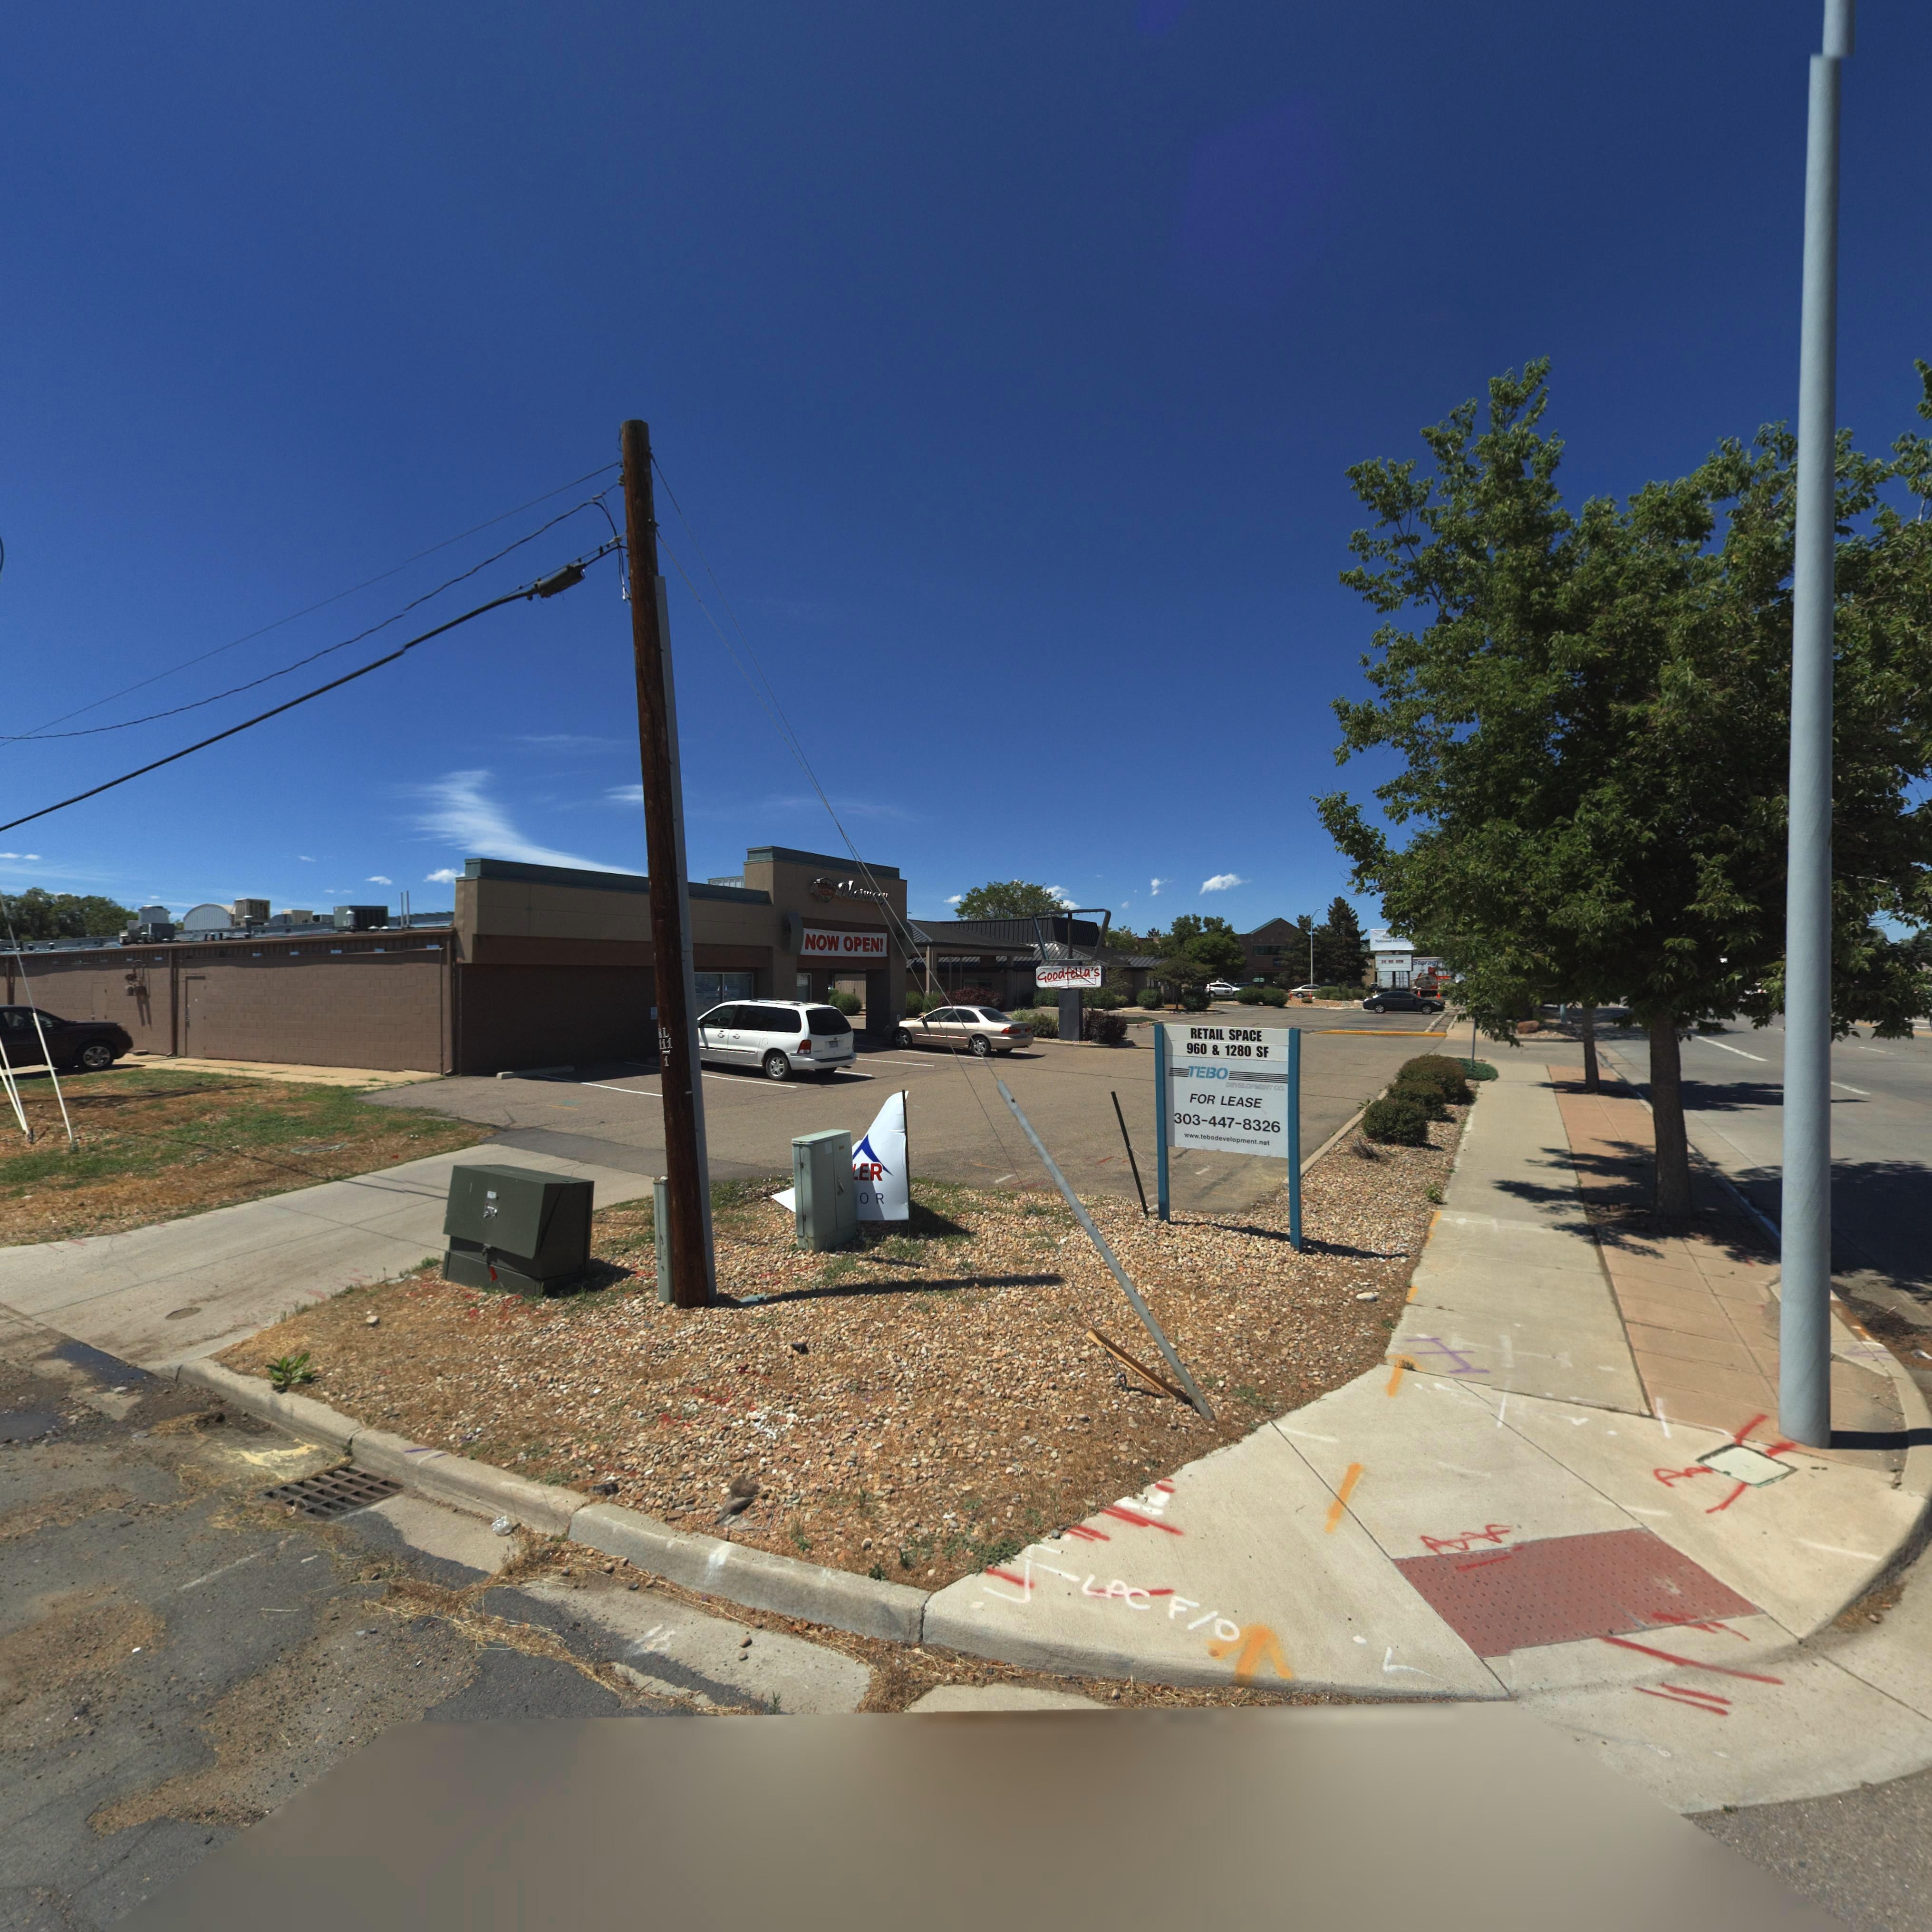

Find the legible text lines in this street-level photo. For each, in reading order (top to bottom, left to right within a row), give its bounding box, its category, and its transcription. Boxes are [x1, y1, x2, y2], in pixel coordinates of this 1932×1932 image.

[837, 879, 889, 908] BusinessName: Phar****
[1374, 938, 1407, 943] BusinessName: N******l DEN**
[1036, 966, 1101, 984] BusinessName: Goodfella's
[1049, 979, 1095, 986] BusinessName: R*S******* * B****